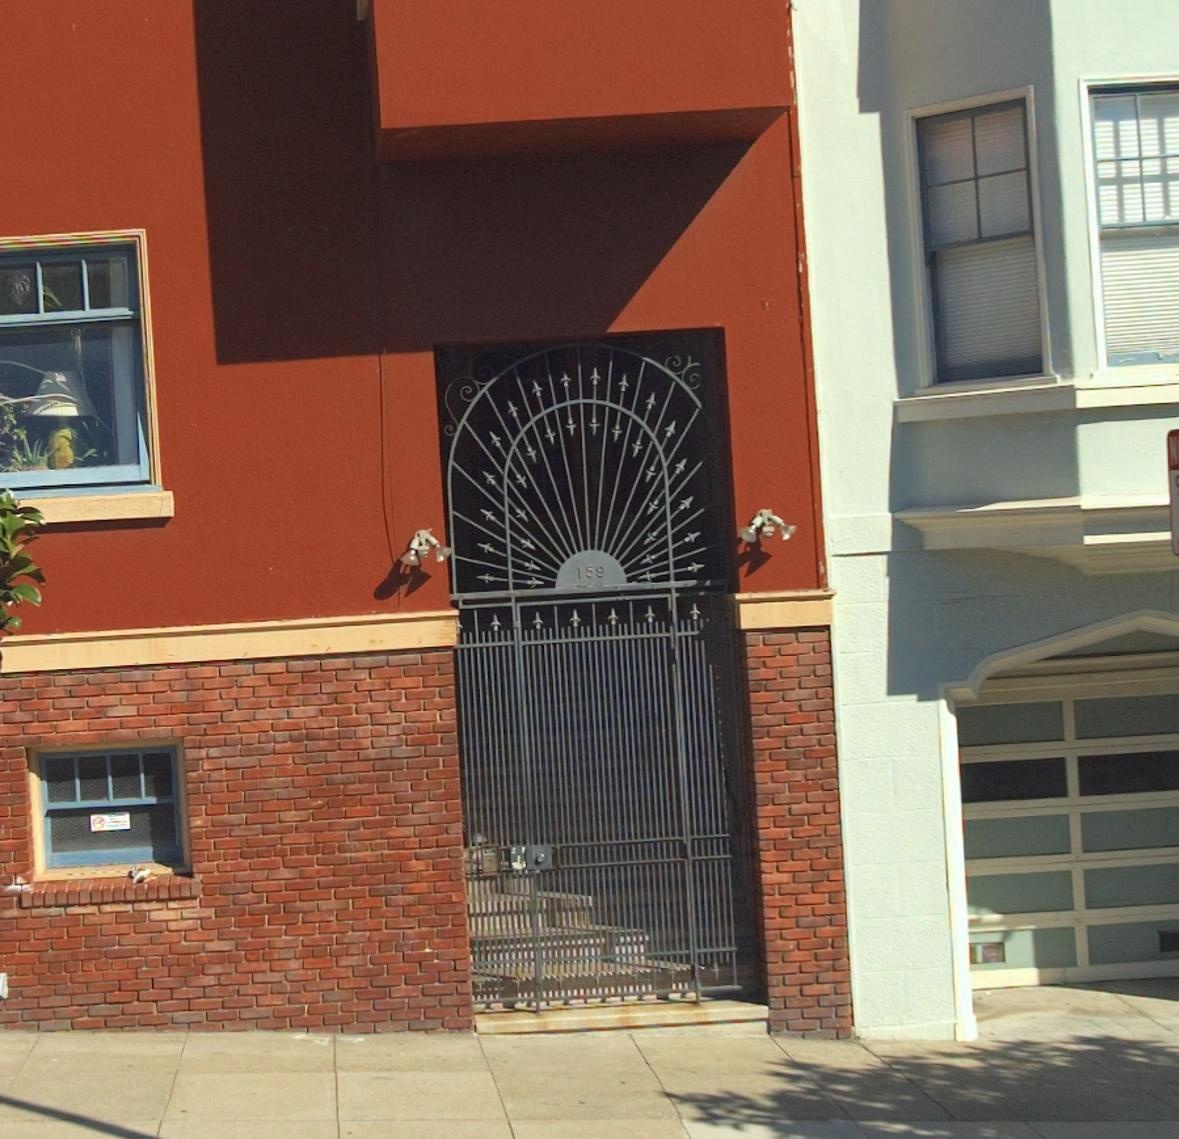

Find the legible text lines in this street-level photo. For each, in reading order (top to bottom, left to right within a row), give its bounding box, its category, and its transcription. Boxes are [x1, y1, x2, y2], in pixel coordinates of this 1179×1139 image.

[575, 564, 605, 581] StreetNumber: 159